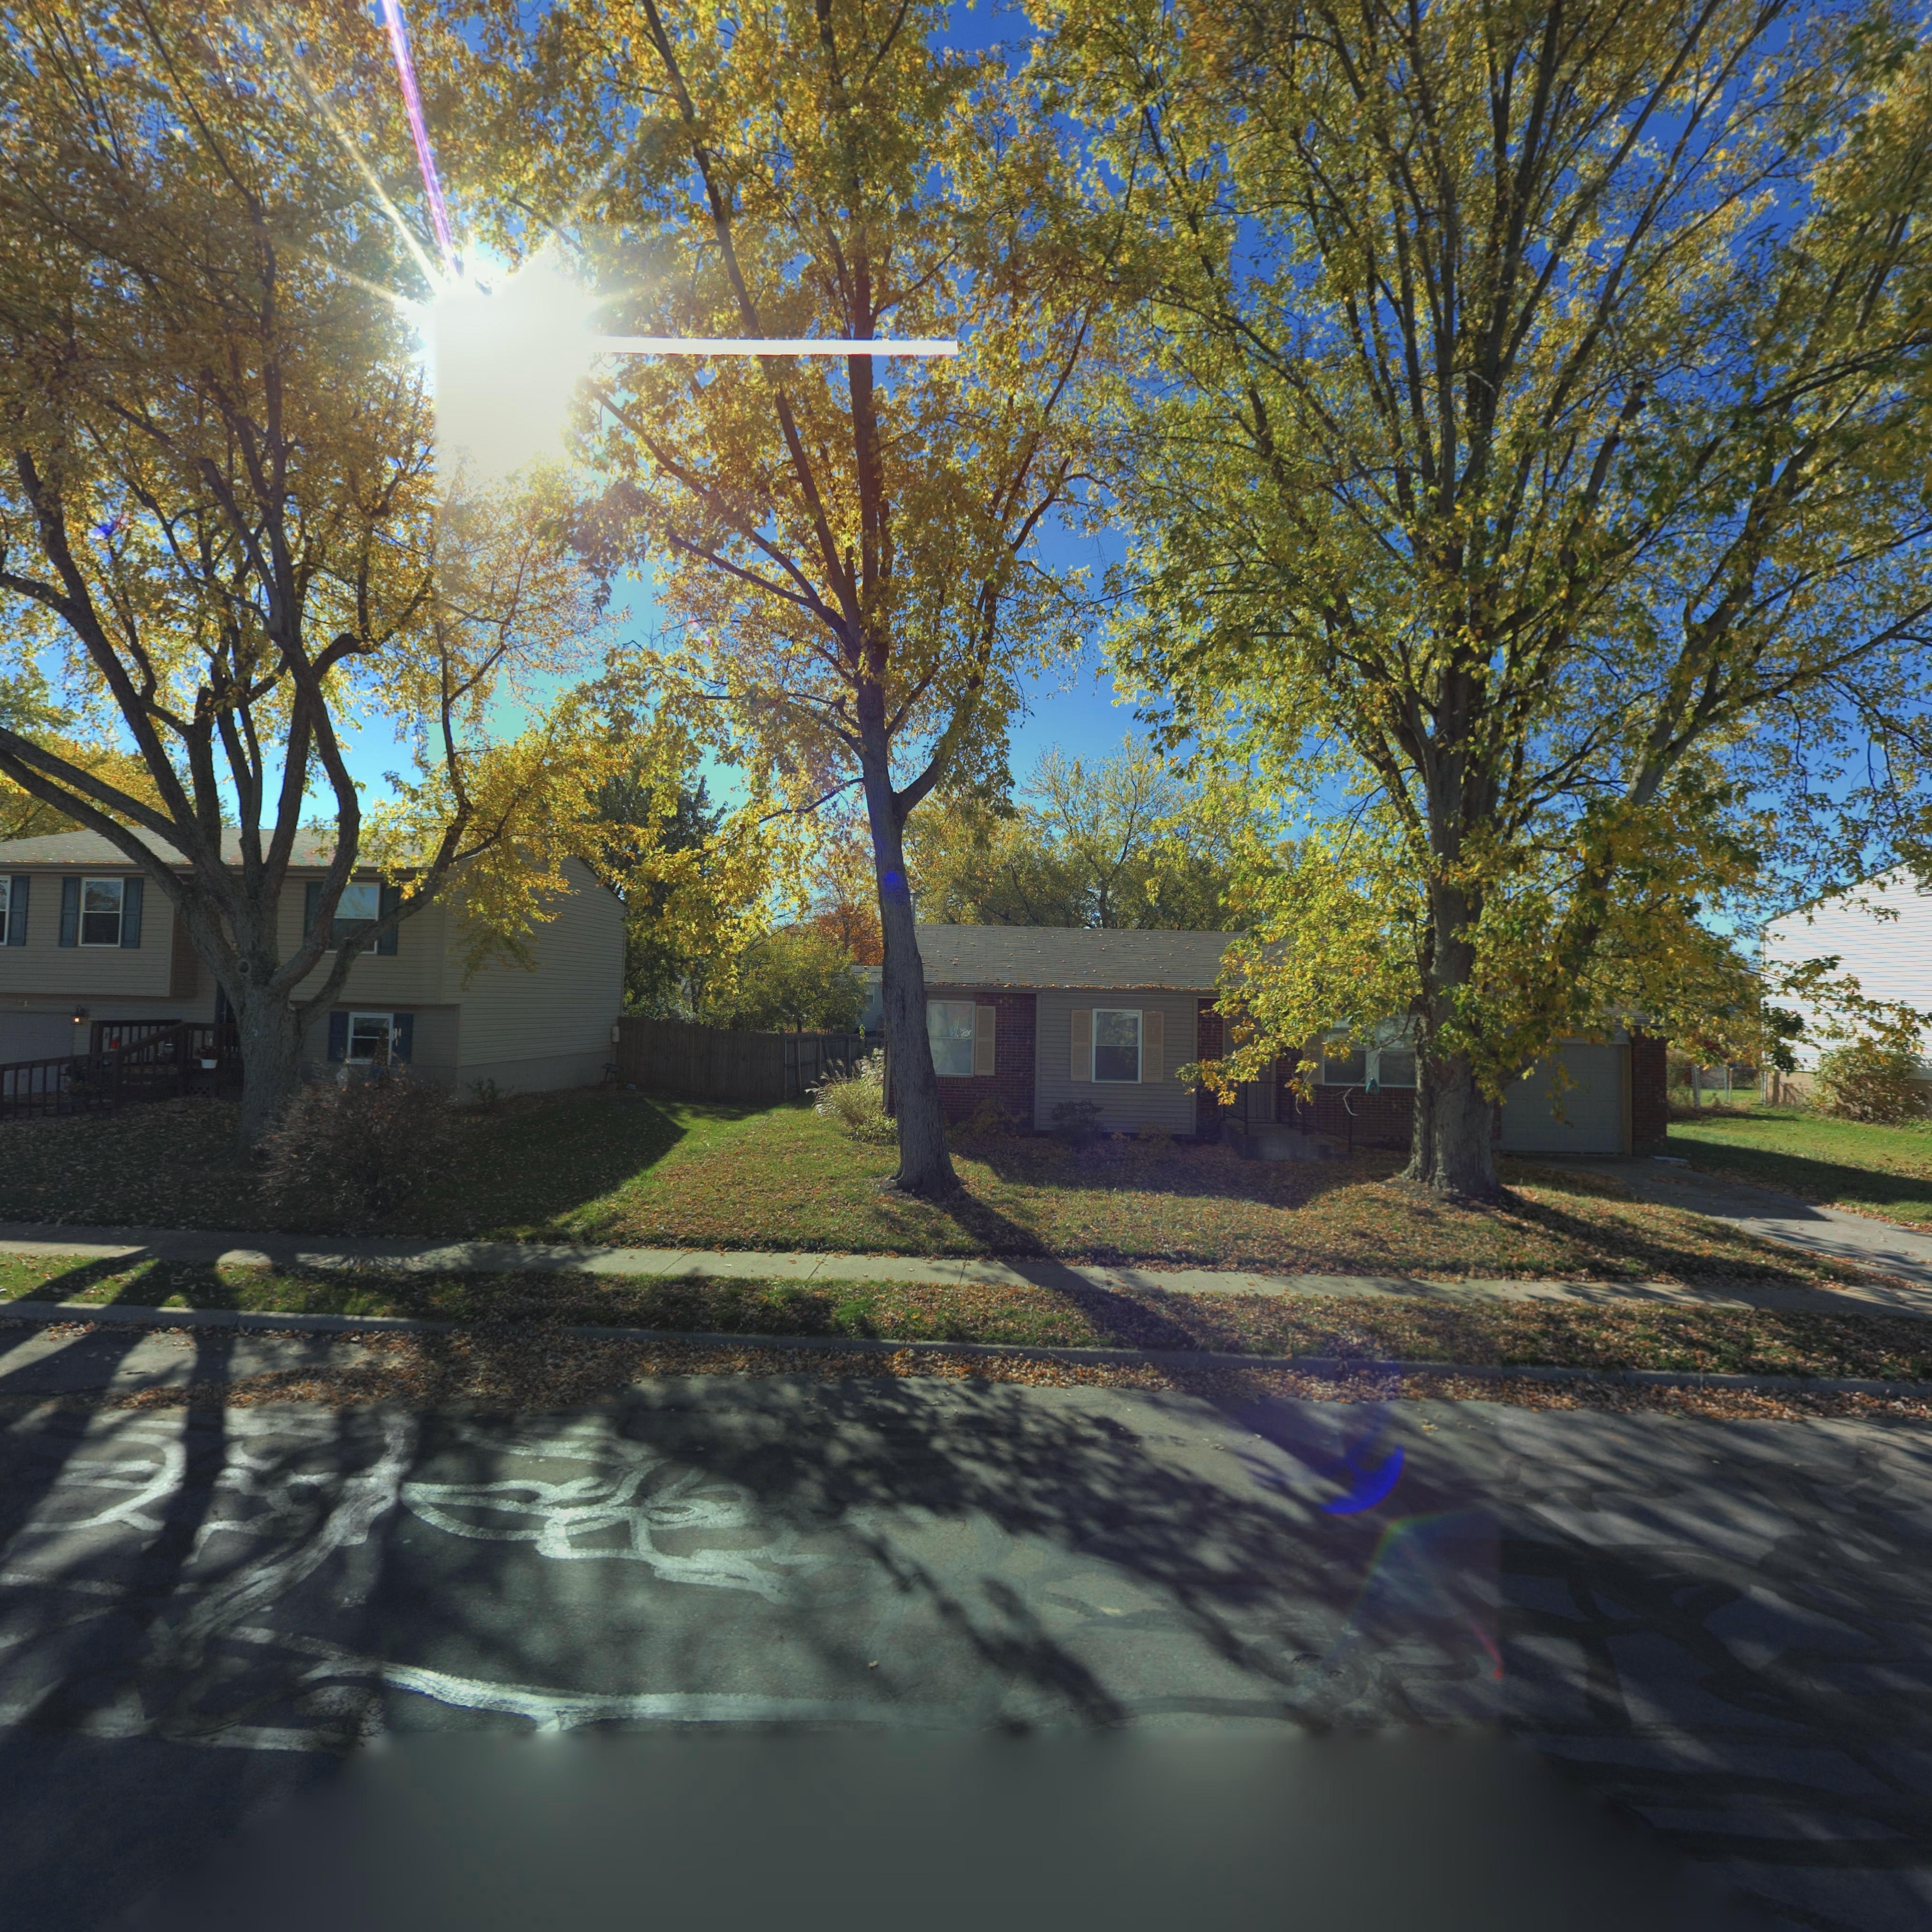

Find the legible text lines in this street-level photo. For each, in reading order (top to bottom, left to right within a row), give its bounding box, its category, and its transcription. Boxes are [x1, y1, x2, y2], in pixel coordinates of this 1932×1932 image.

[23, 999, 28, 1007] StreetNumber: 1